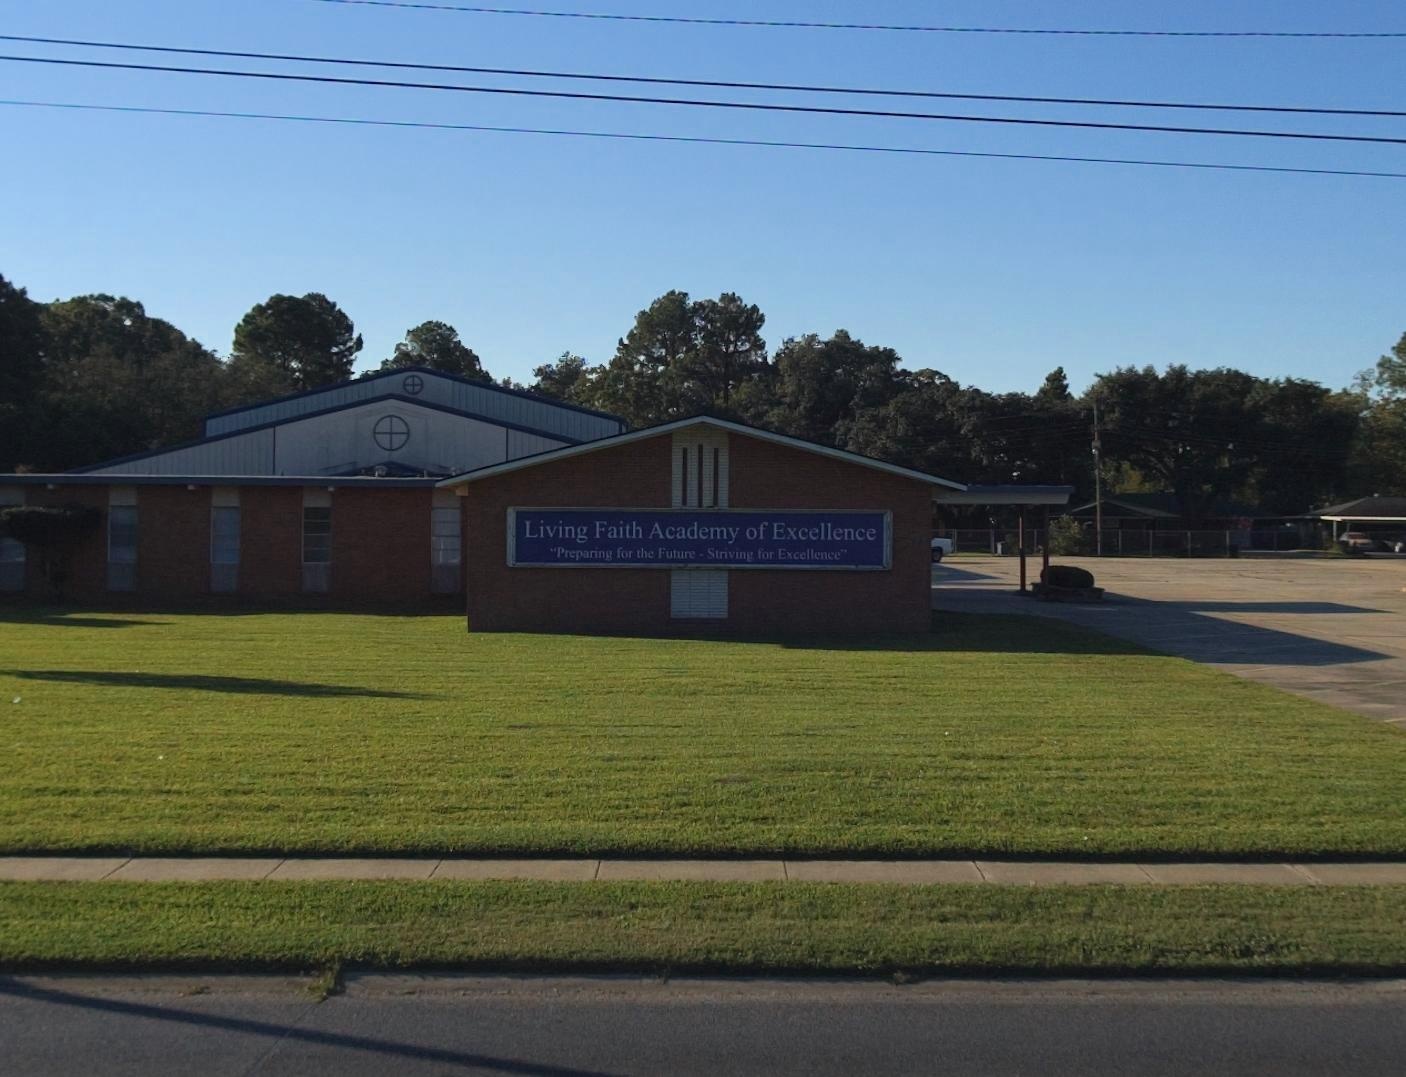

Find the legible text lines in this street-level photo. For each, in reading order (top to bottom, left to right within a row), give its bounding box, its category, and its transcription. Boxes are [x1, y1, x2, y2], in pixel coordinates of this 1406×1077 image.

[521, 517, 880, 547] BusinessName: Living Faith Academy of Excellence
[555, 544, 842, 565] None: Preparing for the Future-Striving for Excellence